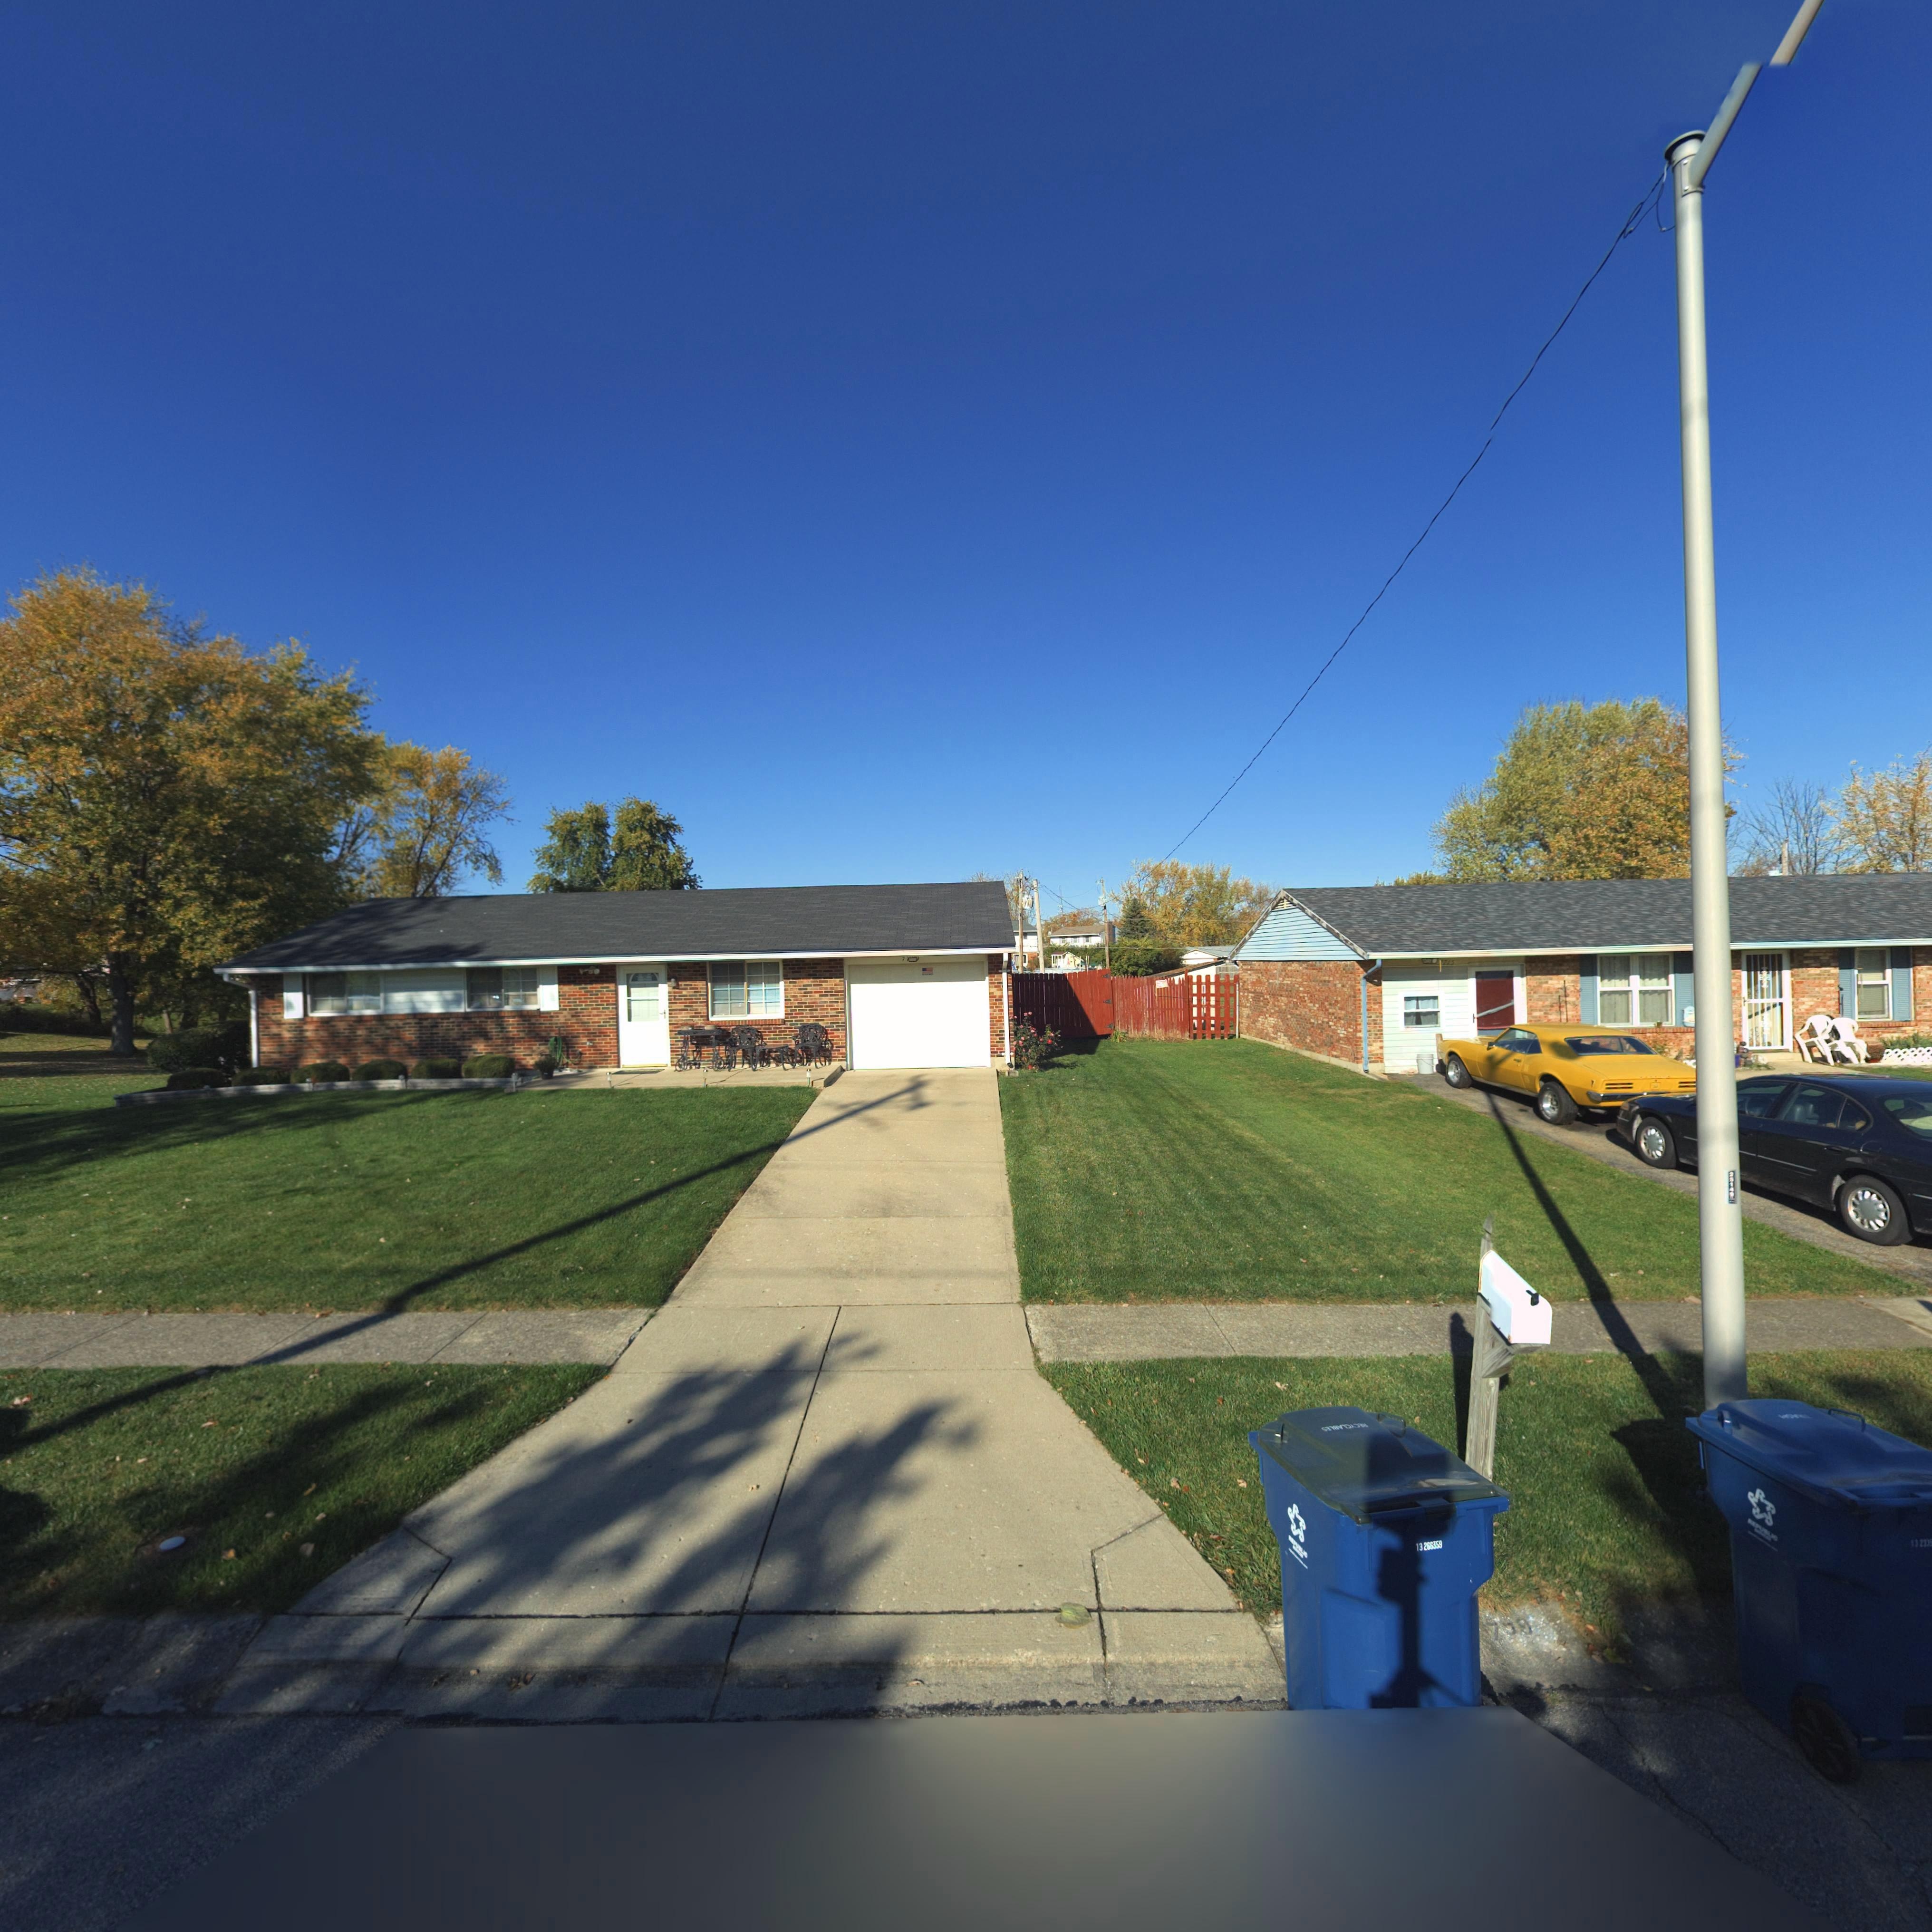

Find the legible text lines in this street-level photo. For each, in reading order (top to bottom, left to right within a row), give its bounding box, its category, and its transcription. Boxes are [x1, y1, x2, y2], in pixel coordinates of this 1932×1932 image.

[901, 956, 907, 963] StreetNumber: 7
[1442, 959, 1456, 966] StreetNumber: 715
[1414, 1539, 1443, 1552] None: \